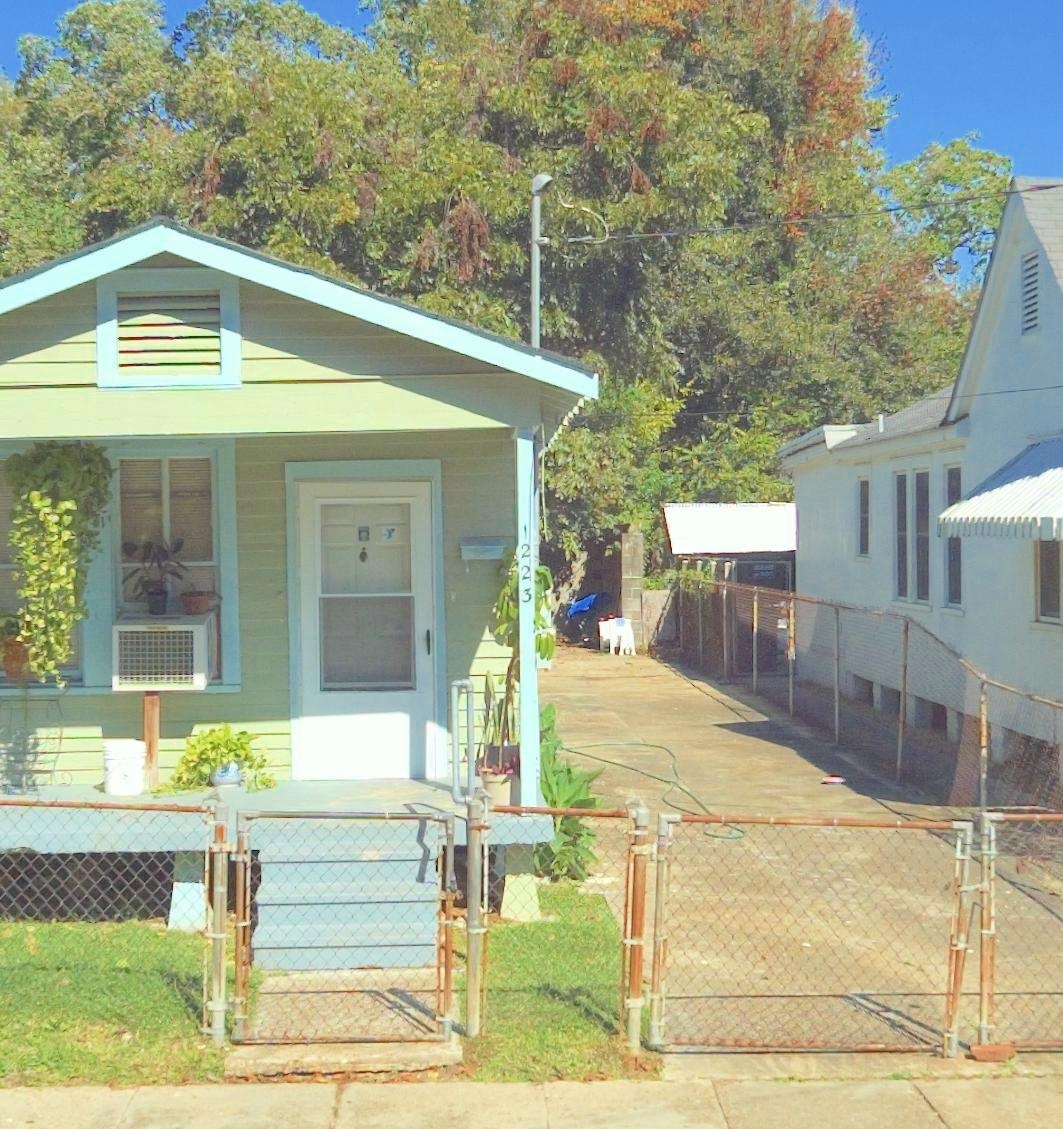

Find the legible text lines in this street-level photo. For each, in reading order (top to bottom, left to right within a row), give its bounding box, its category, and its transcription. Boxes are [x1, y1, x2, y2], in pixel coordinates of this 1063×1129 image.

[519, 521, 534, 606] StreetNumber: 1223